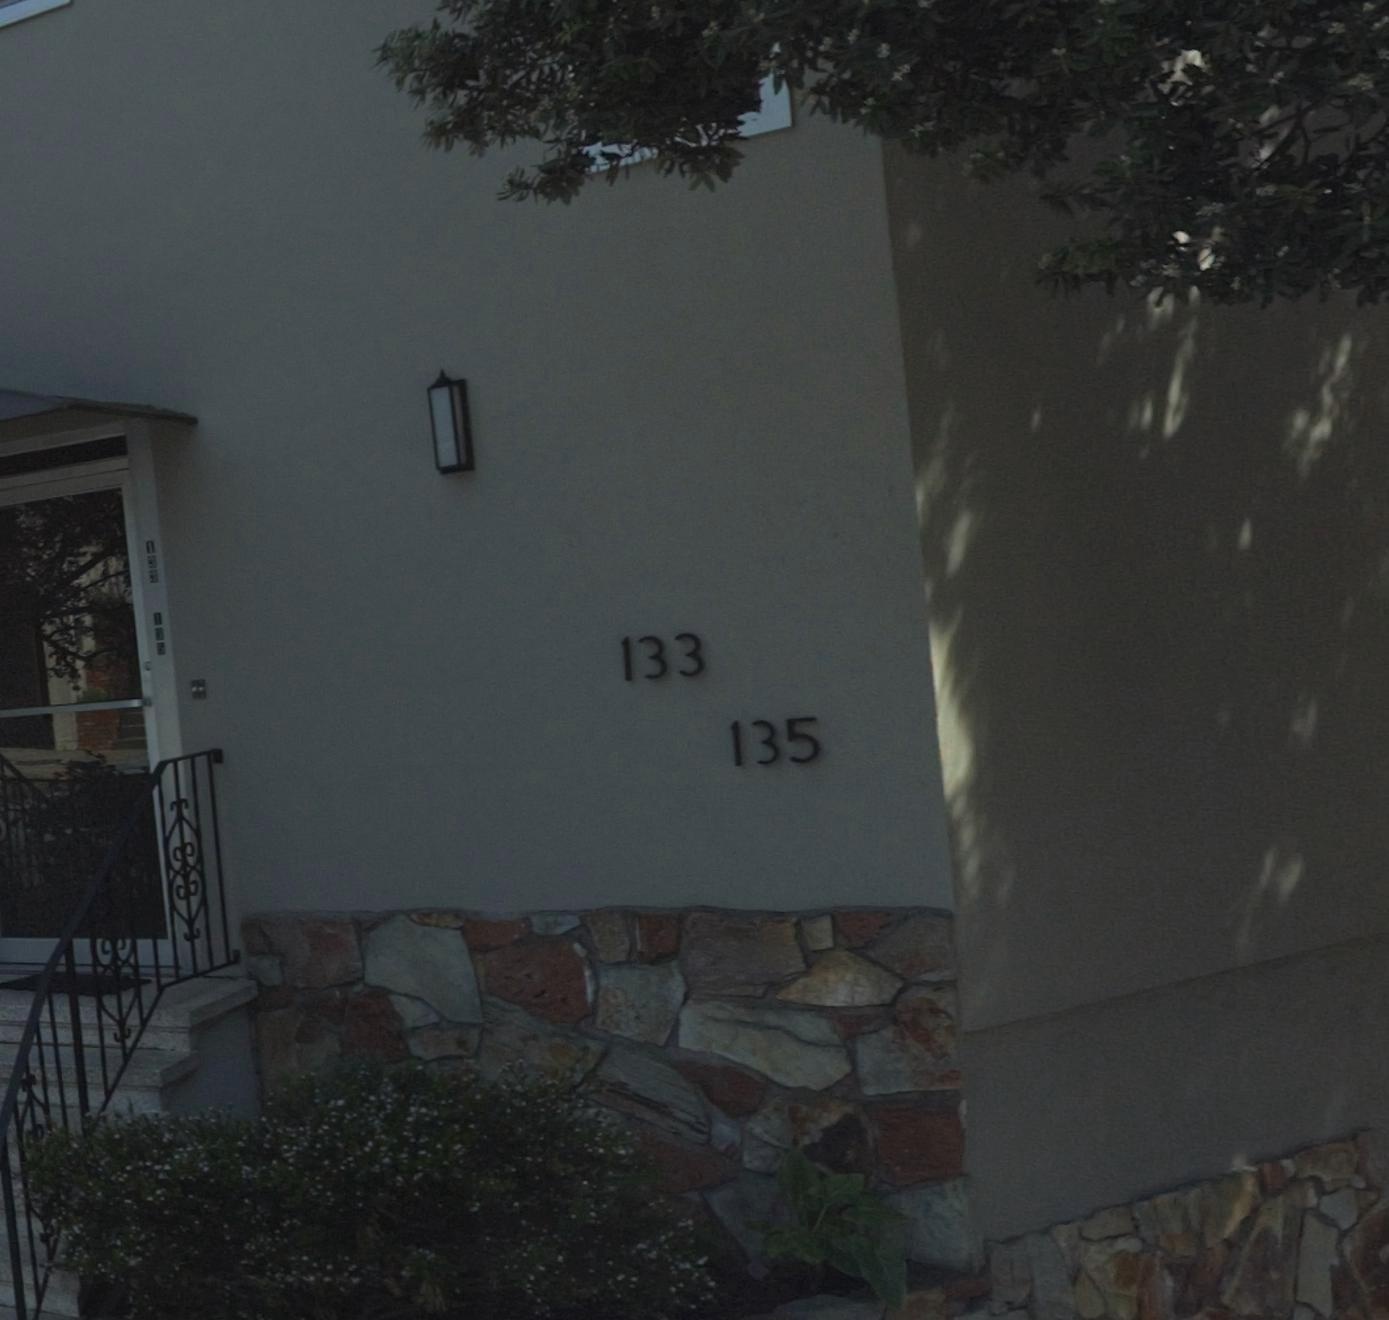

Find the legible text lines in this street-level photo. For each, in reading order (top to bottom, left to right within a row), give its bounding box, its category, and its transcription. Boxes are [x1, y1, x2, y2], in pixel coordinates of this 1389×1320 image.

[612, 627, 709, 688] StreetNumber: 133
[725, 713, 830, 773] StreetNumber: 135